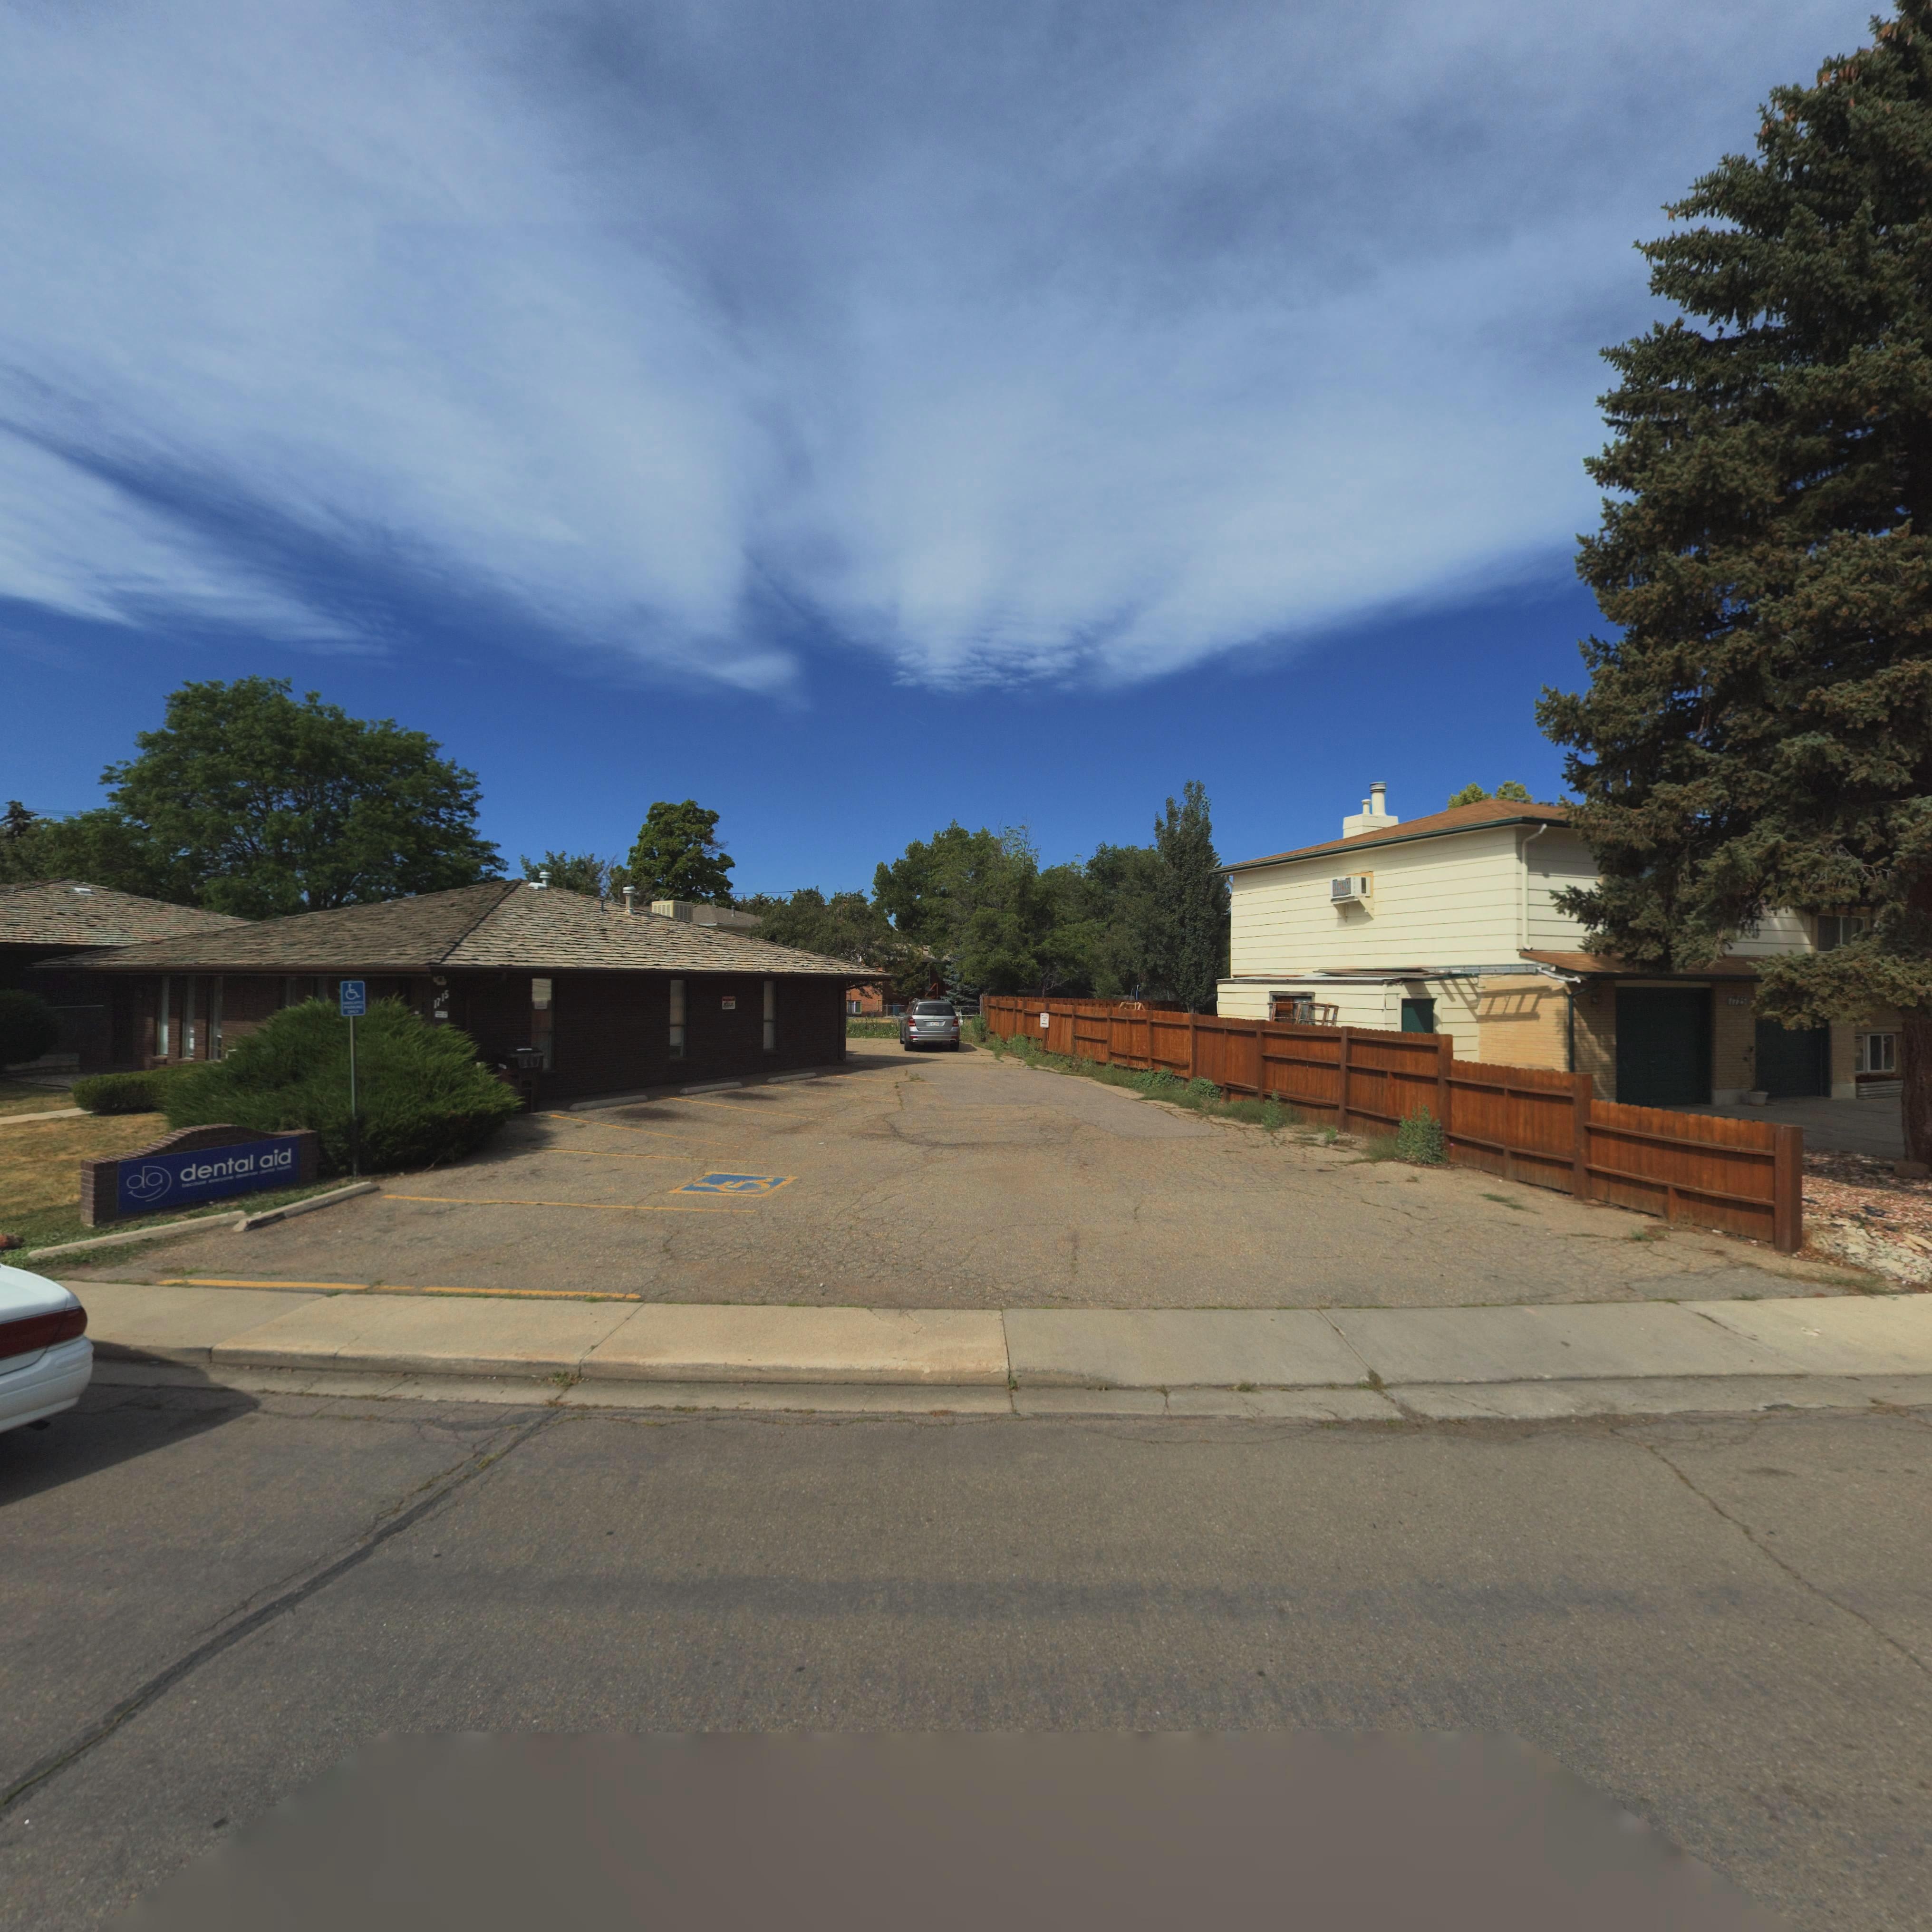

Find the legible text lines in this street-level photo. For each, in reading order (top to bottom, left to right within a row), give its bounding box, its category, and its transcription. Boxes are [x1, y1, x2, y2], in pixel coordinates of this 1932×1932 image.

[433, 989, 449, 1009] StreetNumber: 1715
[1730, 997, 1746, 1005] StreetNumber: 1**5
[179, 1147, 292, 1182] BusinessName: dental aid